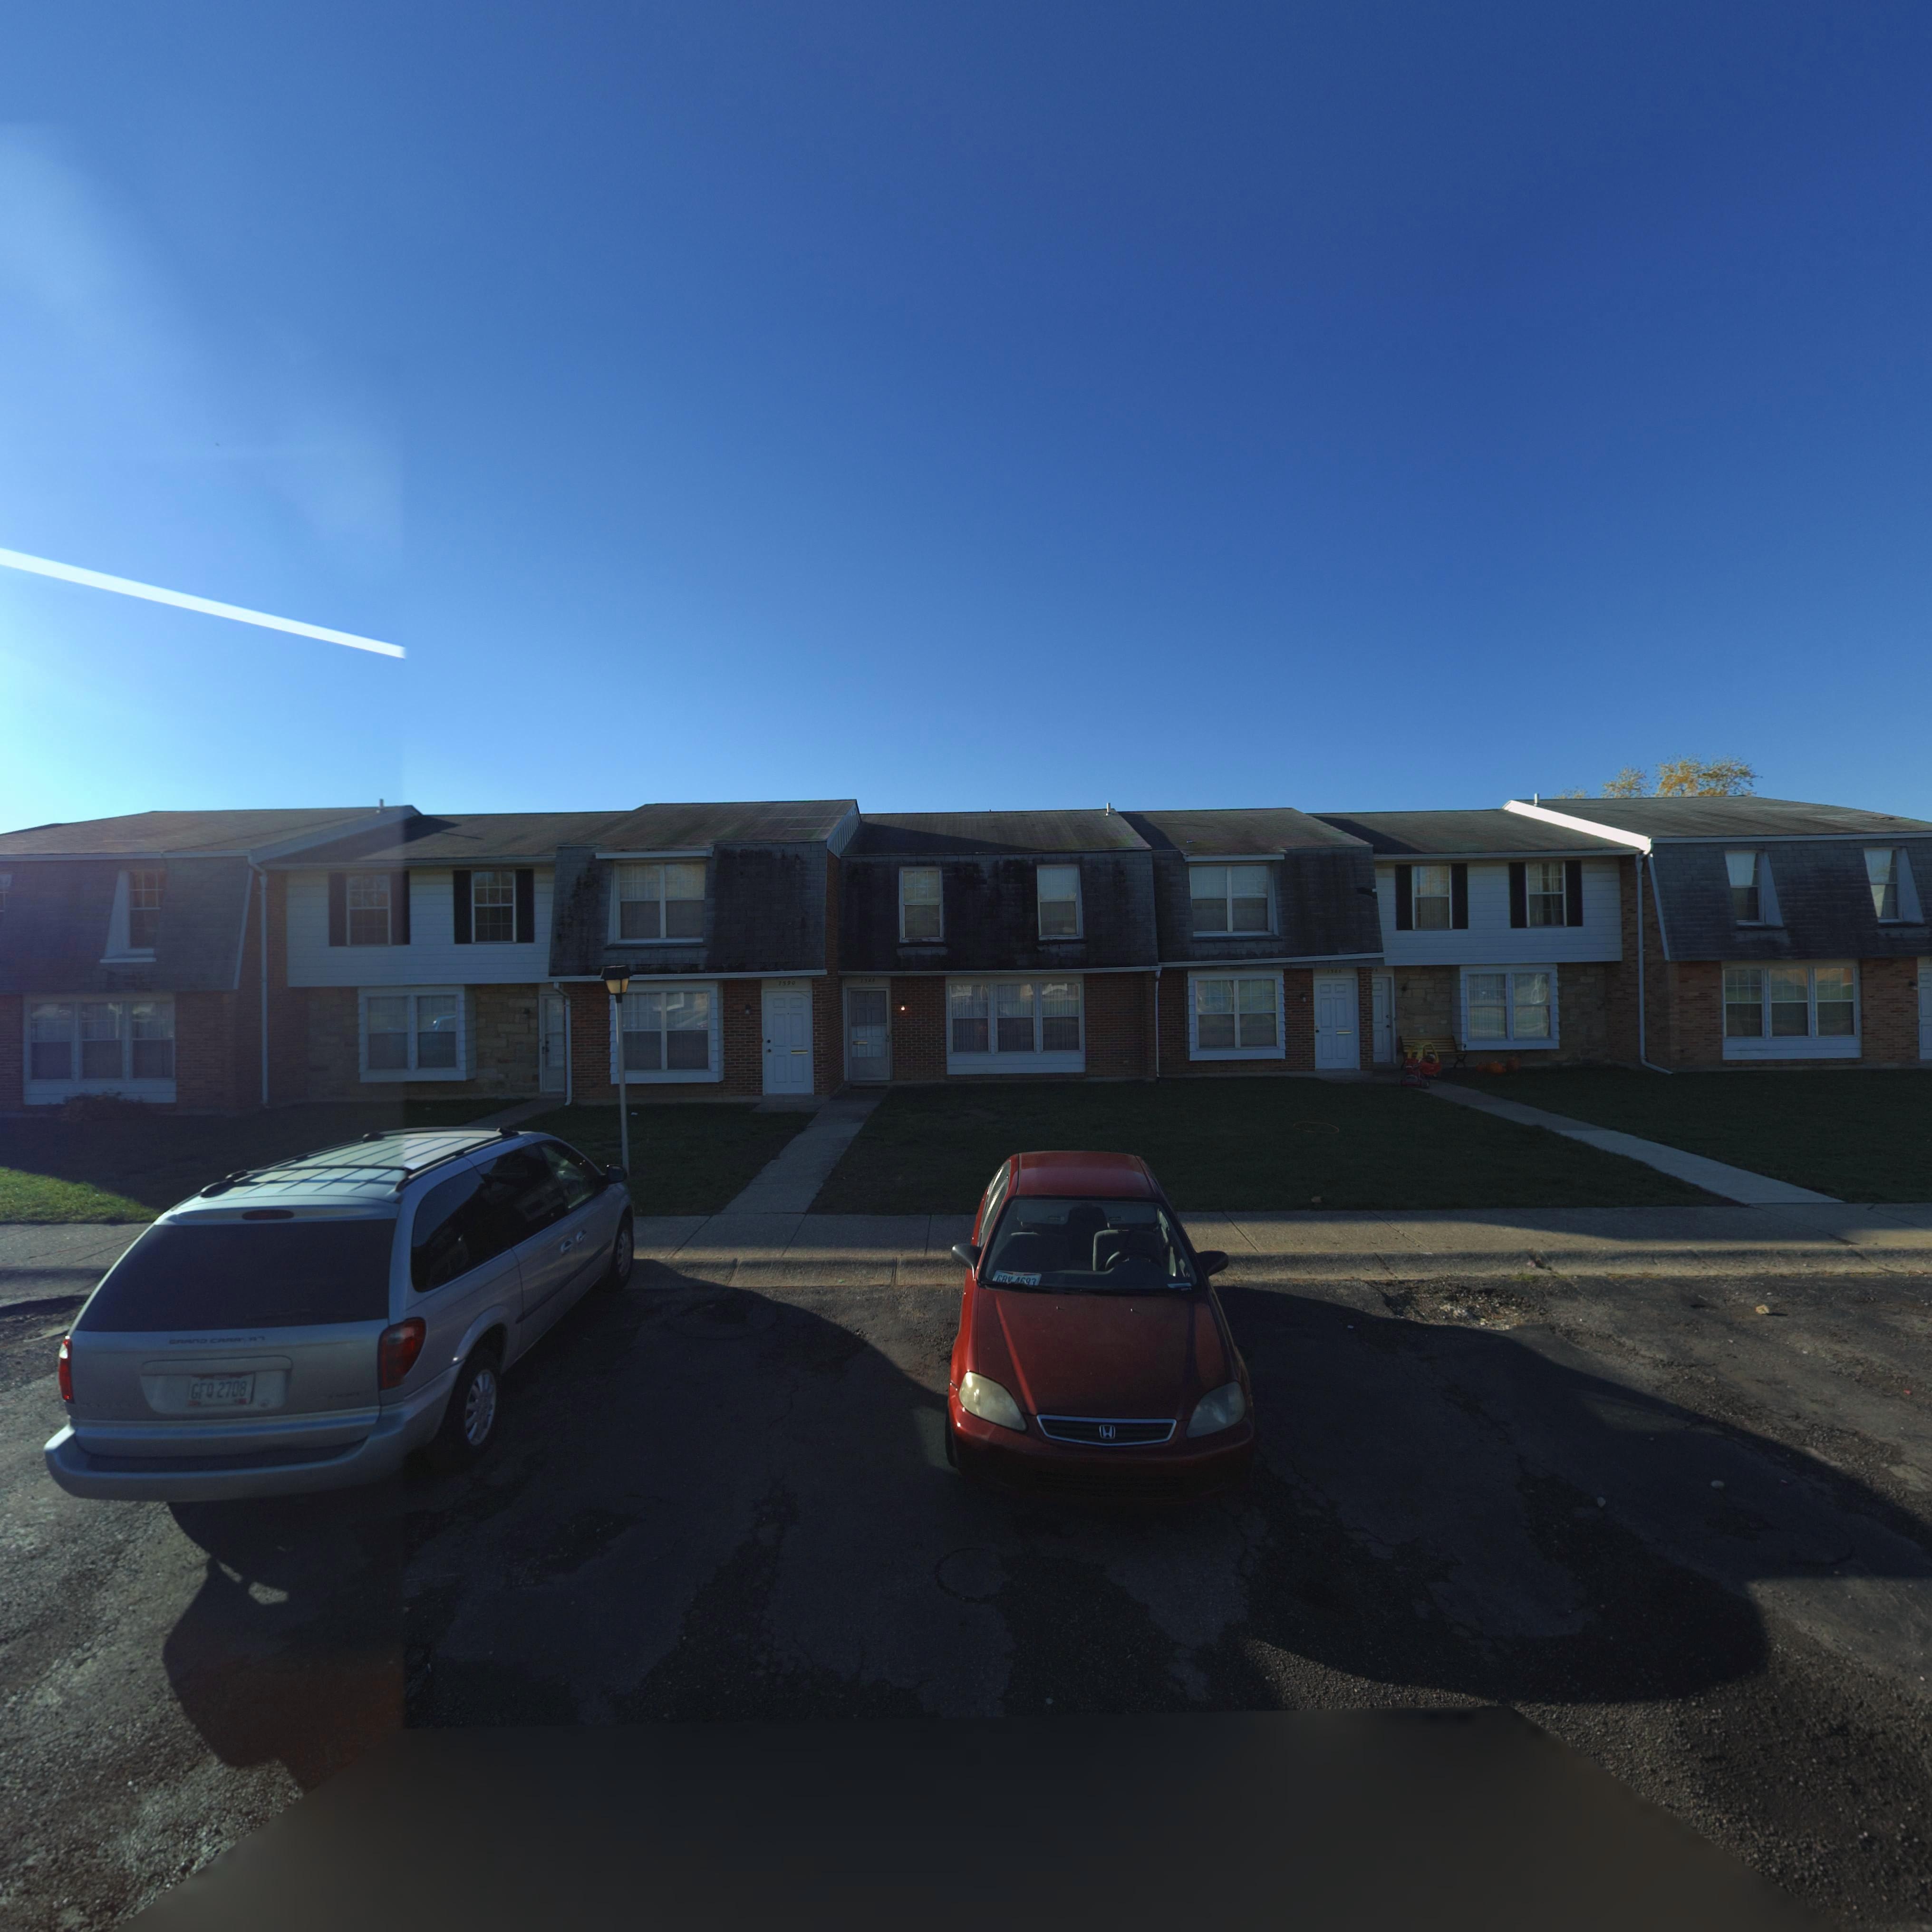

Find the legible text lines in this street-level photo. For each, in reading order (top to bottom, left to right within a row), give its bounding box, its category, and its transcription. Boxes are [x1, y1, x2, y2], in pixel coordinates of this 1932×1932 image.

[1326, 968, 1343, 974] StreetNumber: 7586
[1374, 967, 1378, 973] StreetNumber: 4
[778, 980, 796, 986] StreetNumber: 7590
[860, 977, 876, 984] StreetNumber: 7588